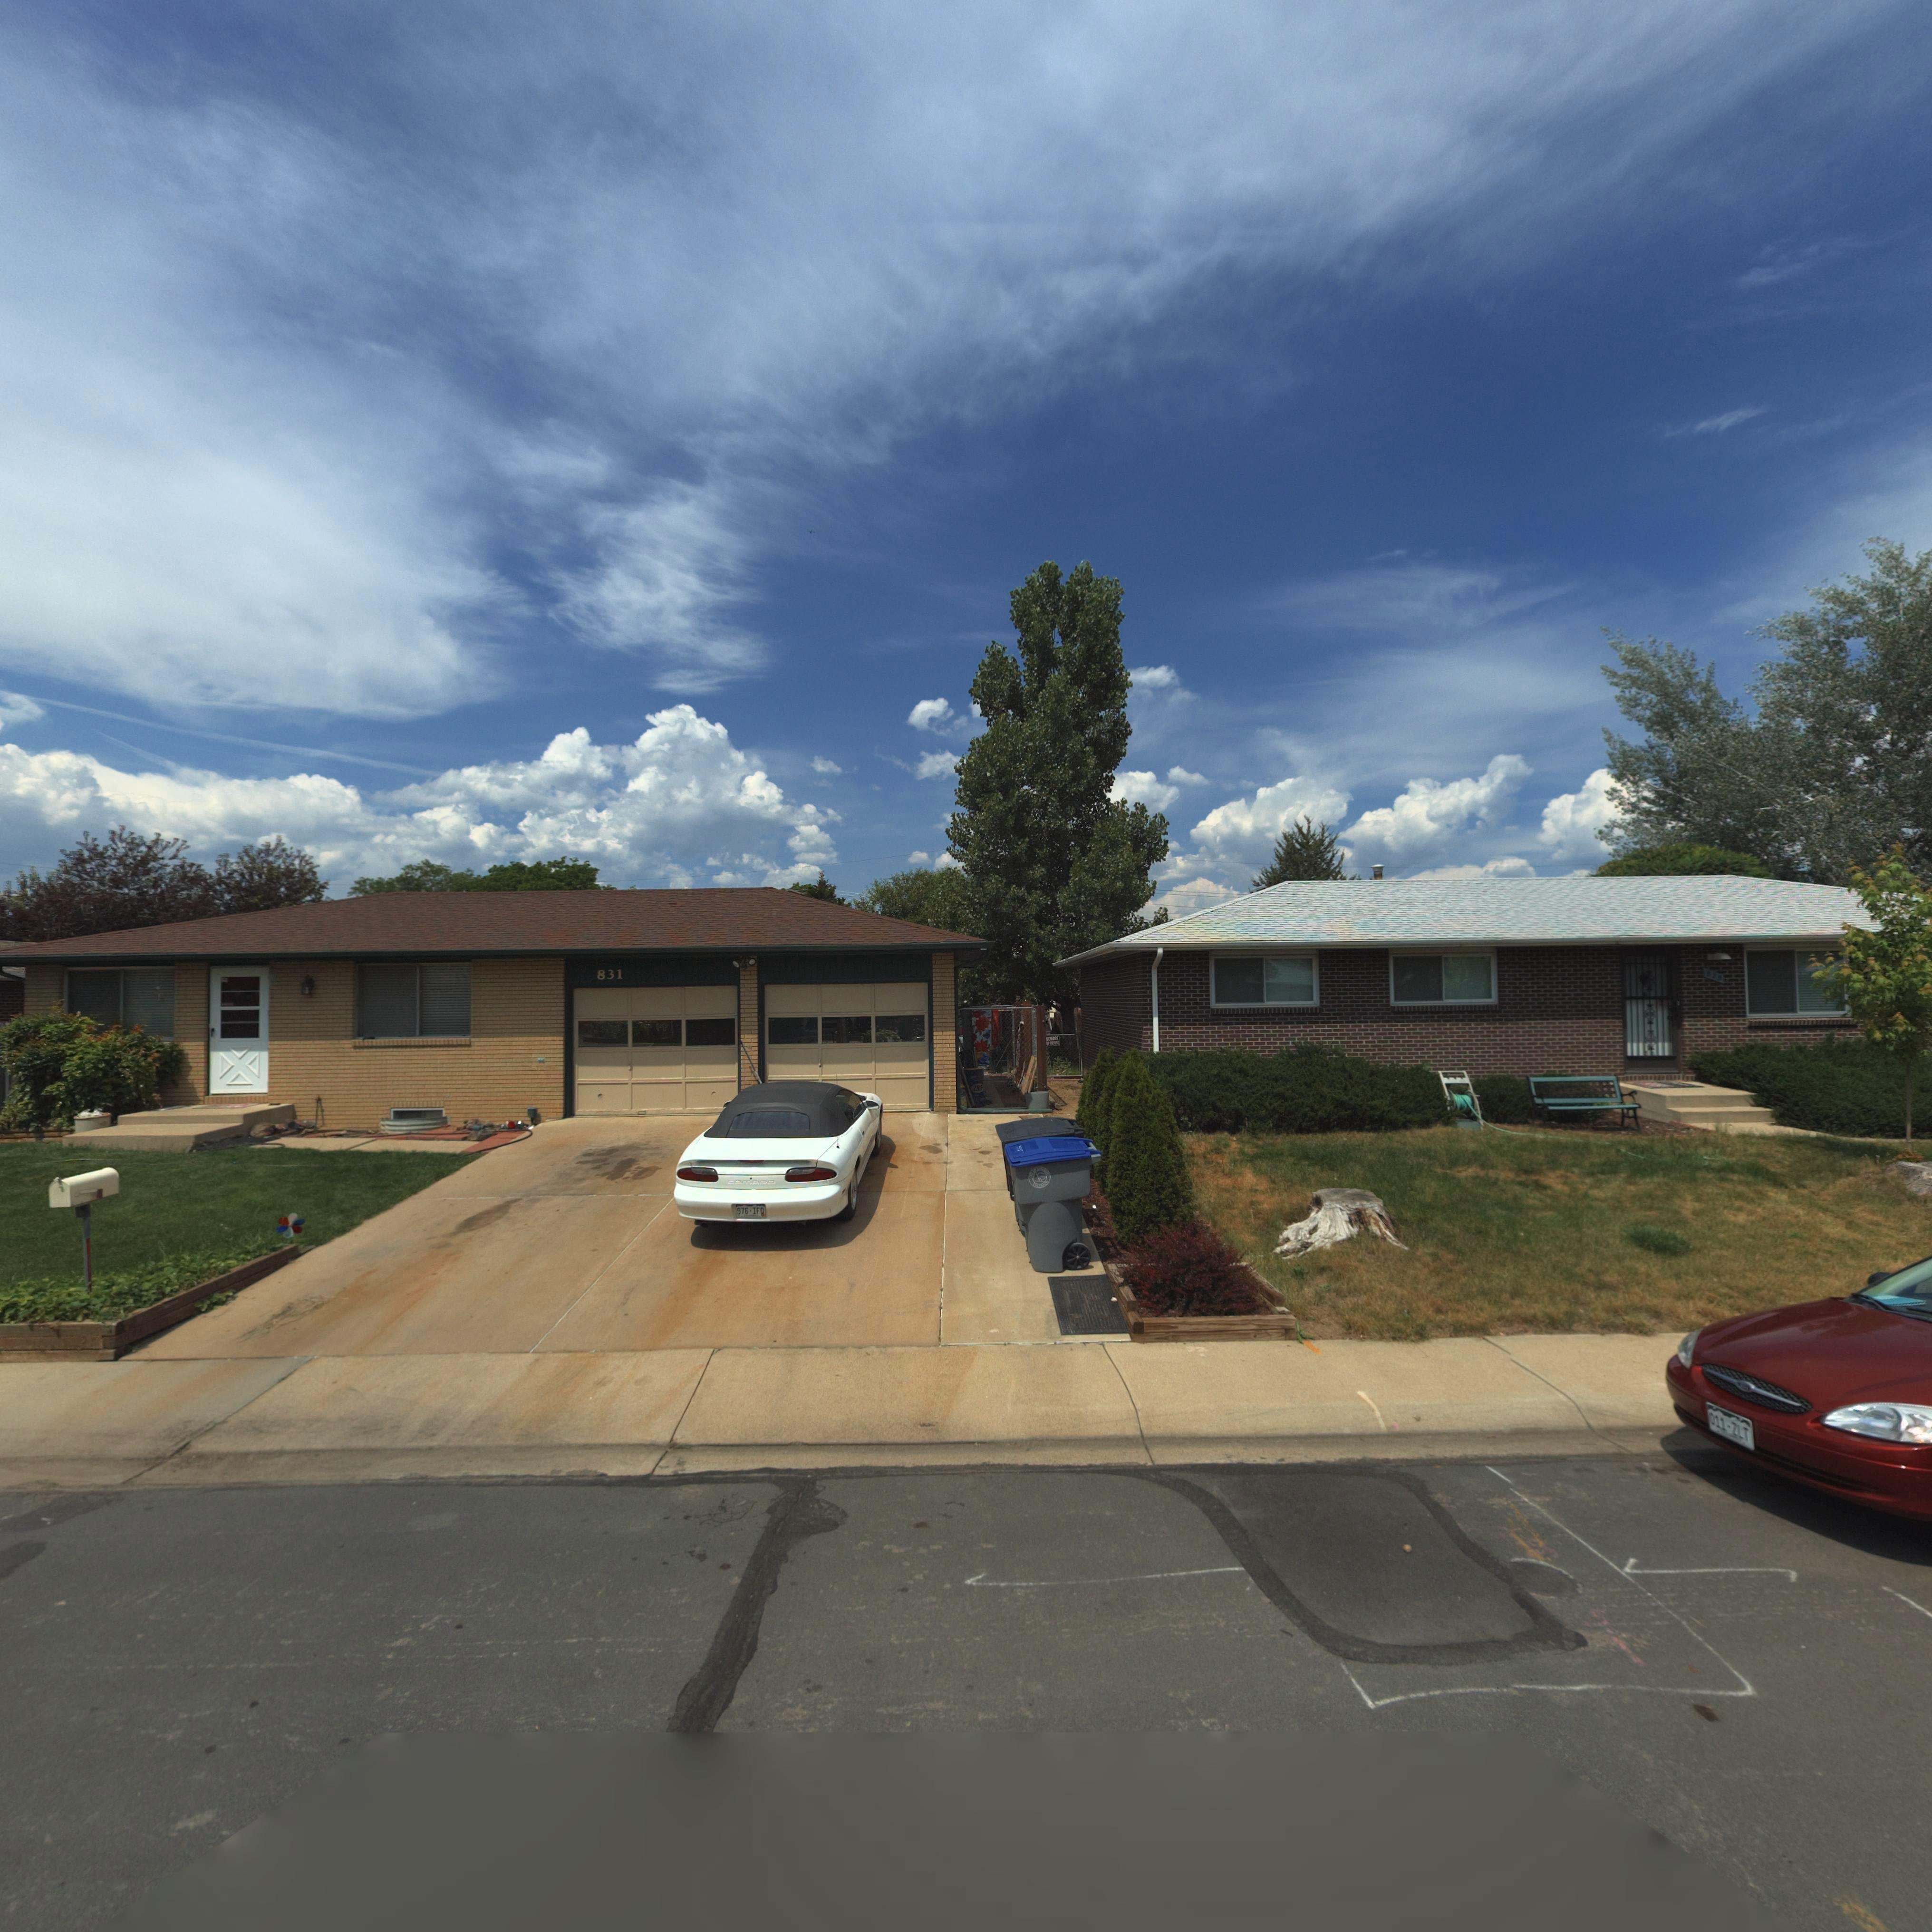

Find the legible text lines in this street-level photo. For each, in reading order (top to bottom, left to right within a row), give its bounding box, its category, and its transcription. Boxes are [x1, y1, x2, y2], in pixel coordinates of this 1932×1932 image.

[597, 969, 623, 979] StreetNumber: 831
[1706, 969, 1722, 981] StreetNumber: *2*